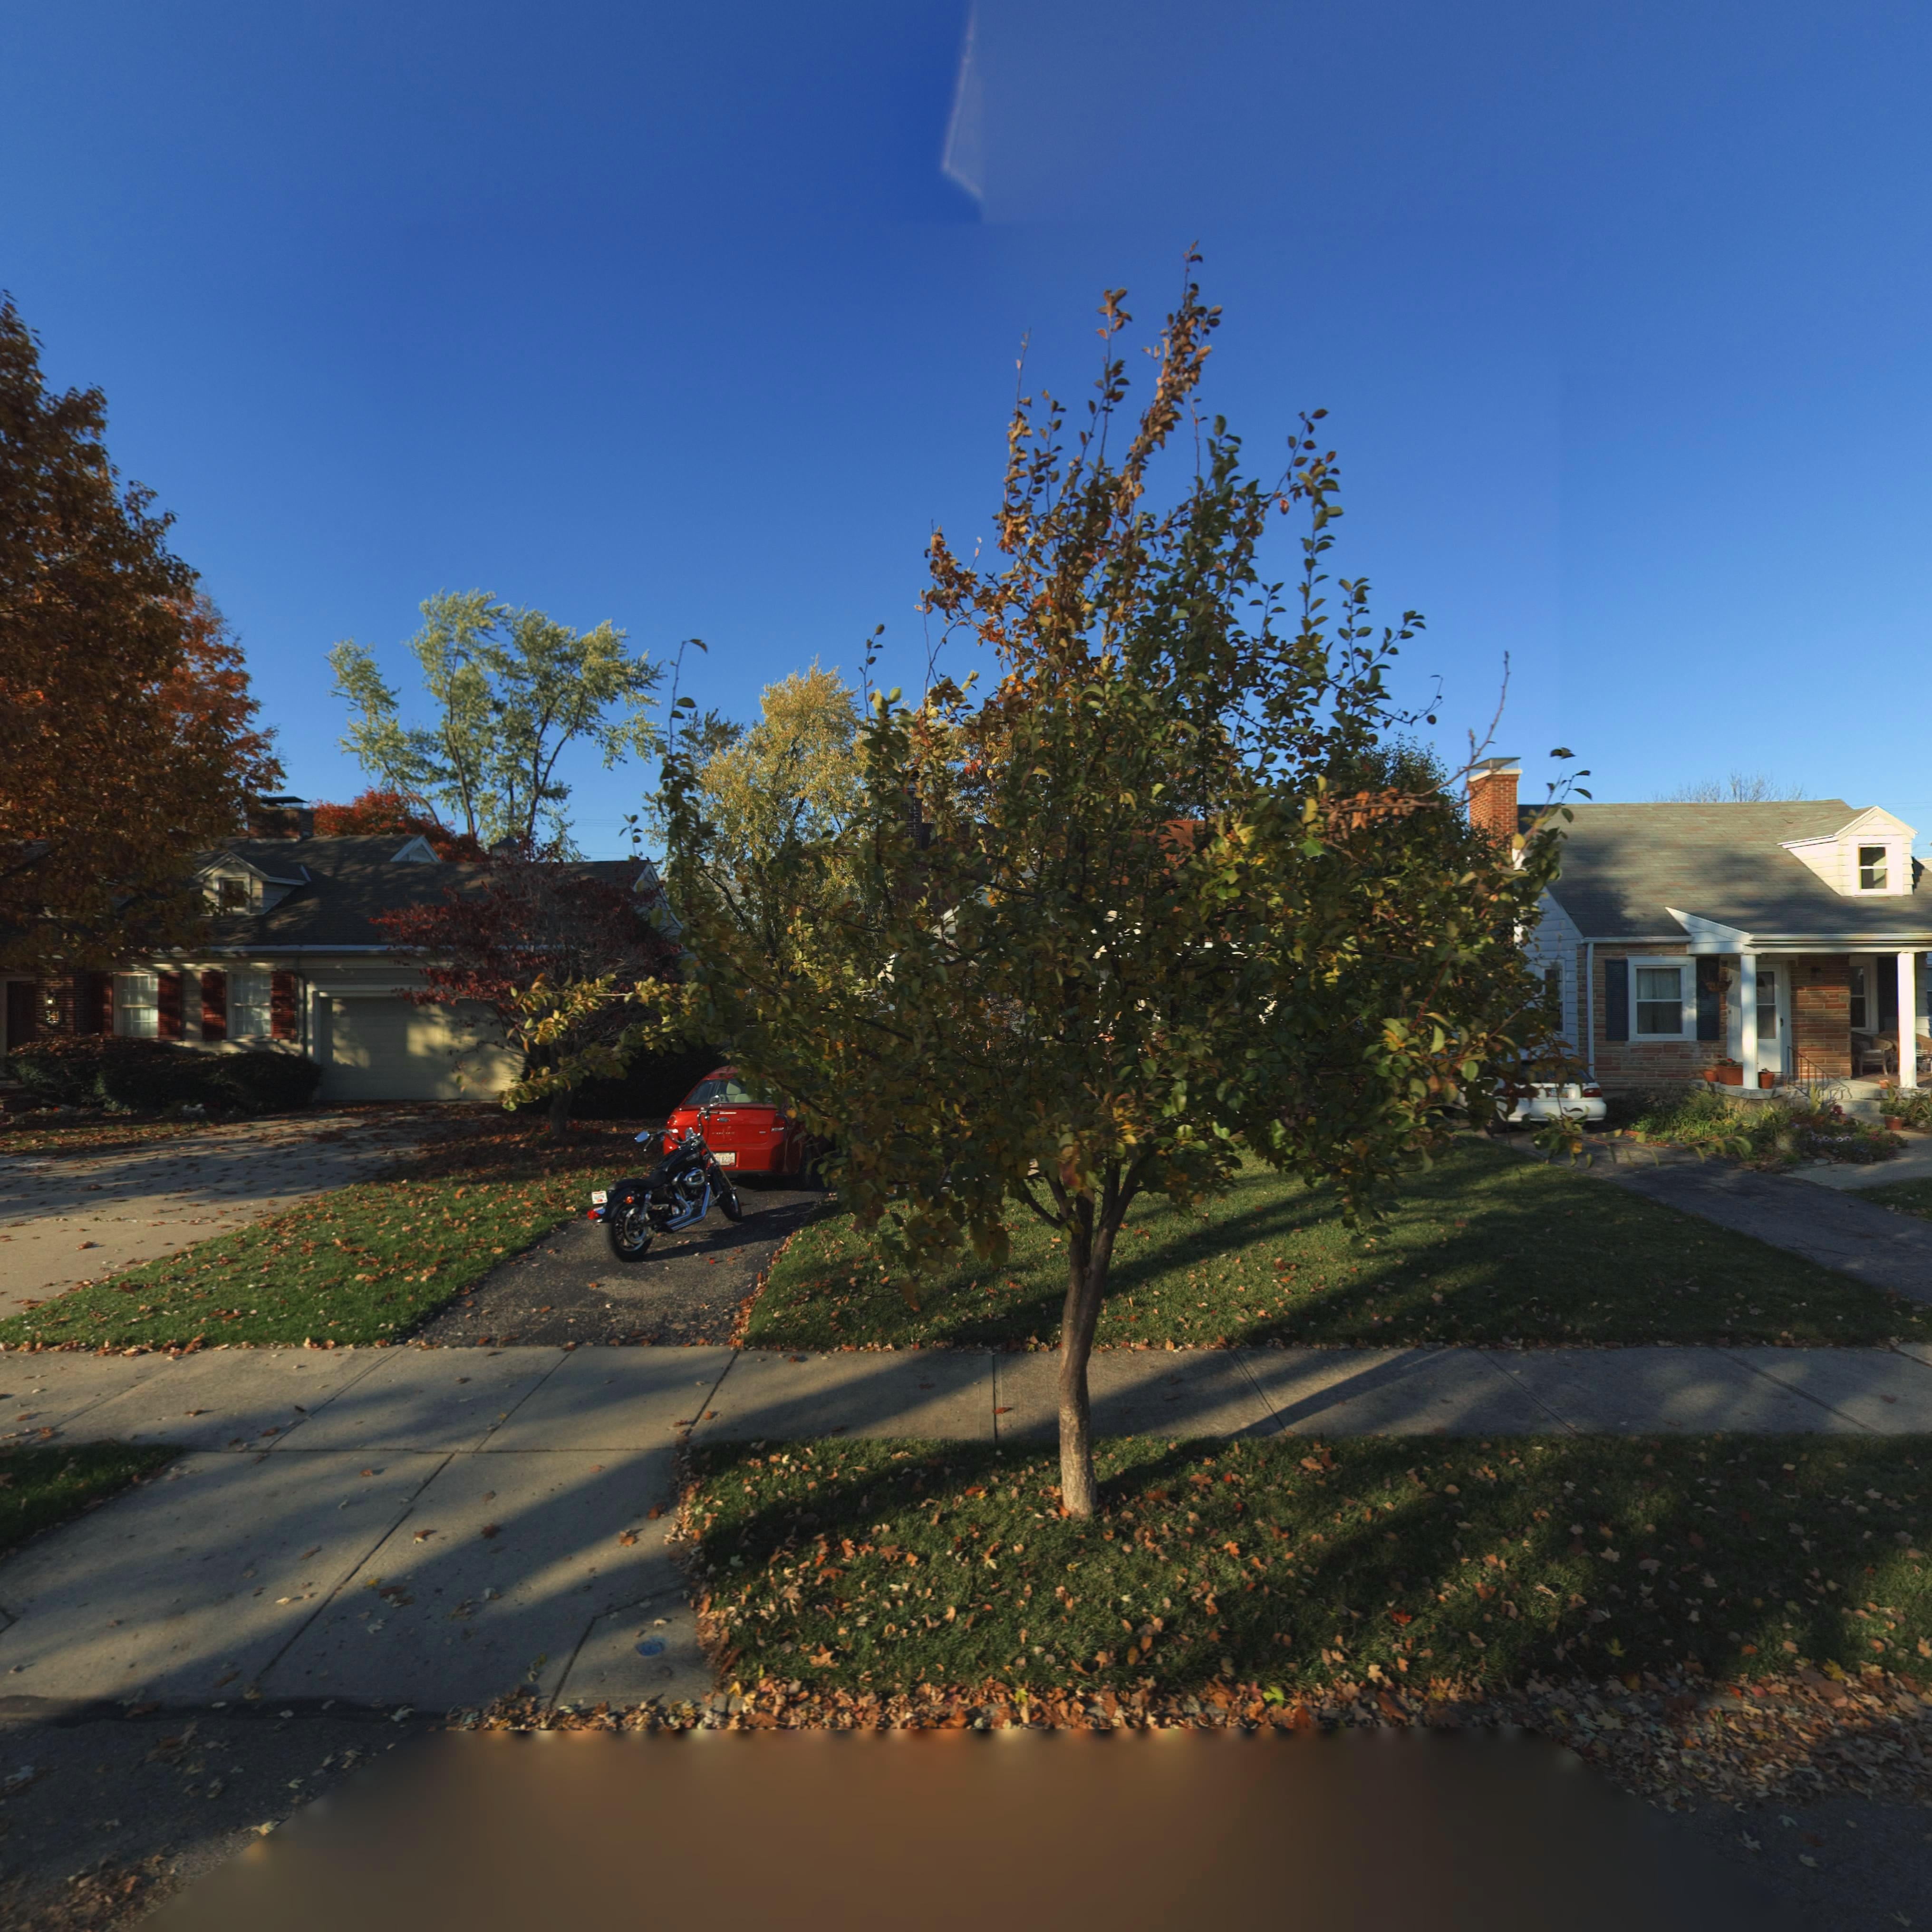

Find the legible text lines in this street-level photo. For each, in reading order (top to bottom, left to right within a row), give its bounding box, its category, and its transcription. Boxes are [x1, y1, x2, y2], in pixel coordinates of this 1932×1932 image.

[45, 1010, 60, 1021] StreetNumber: 341